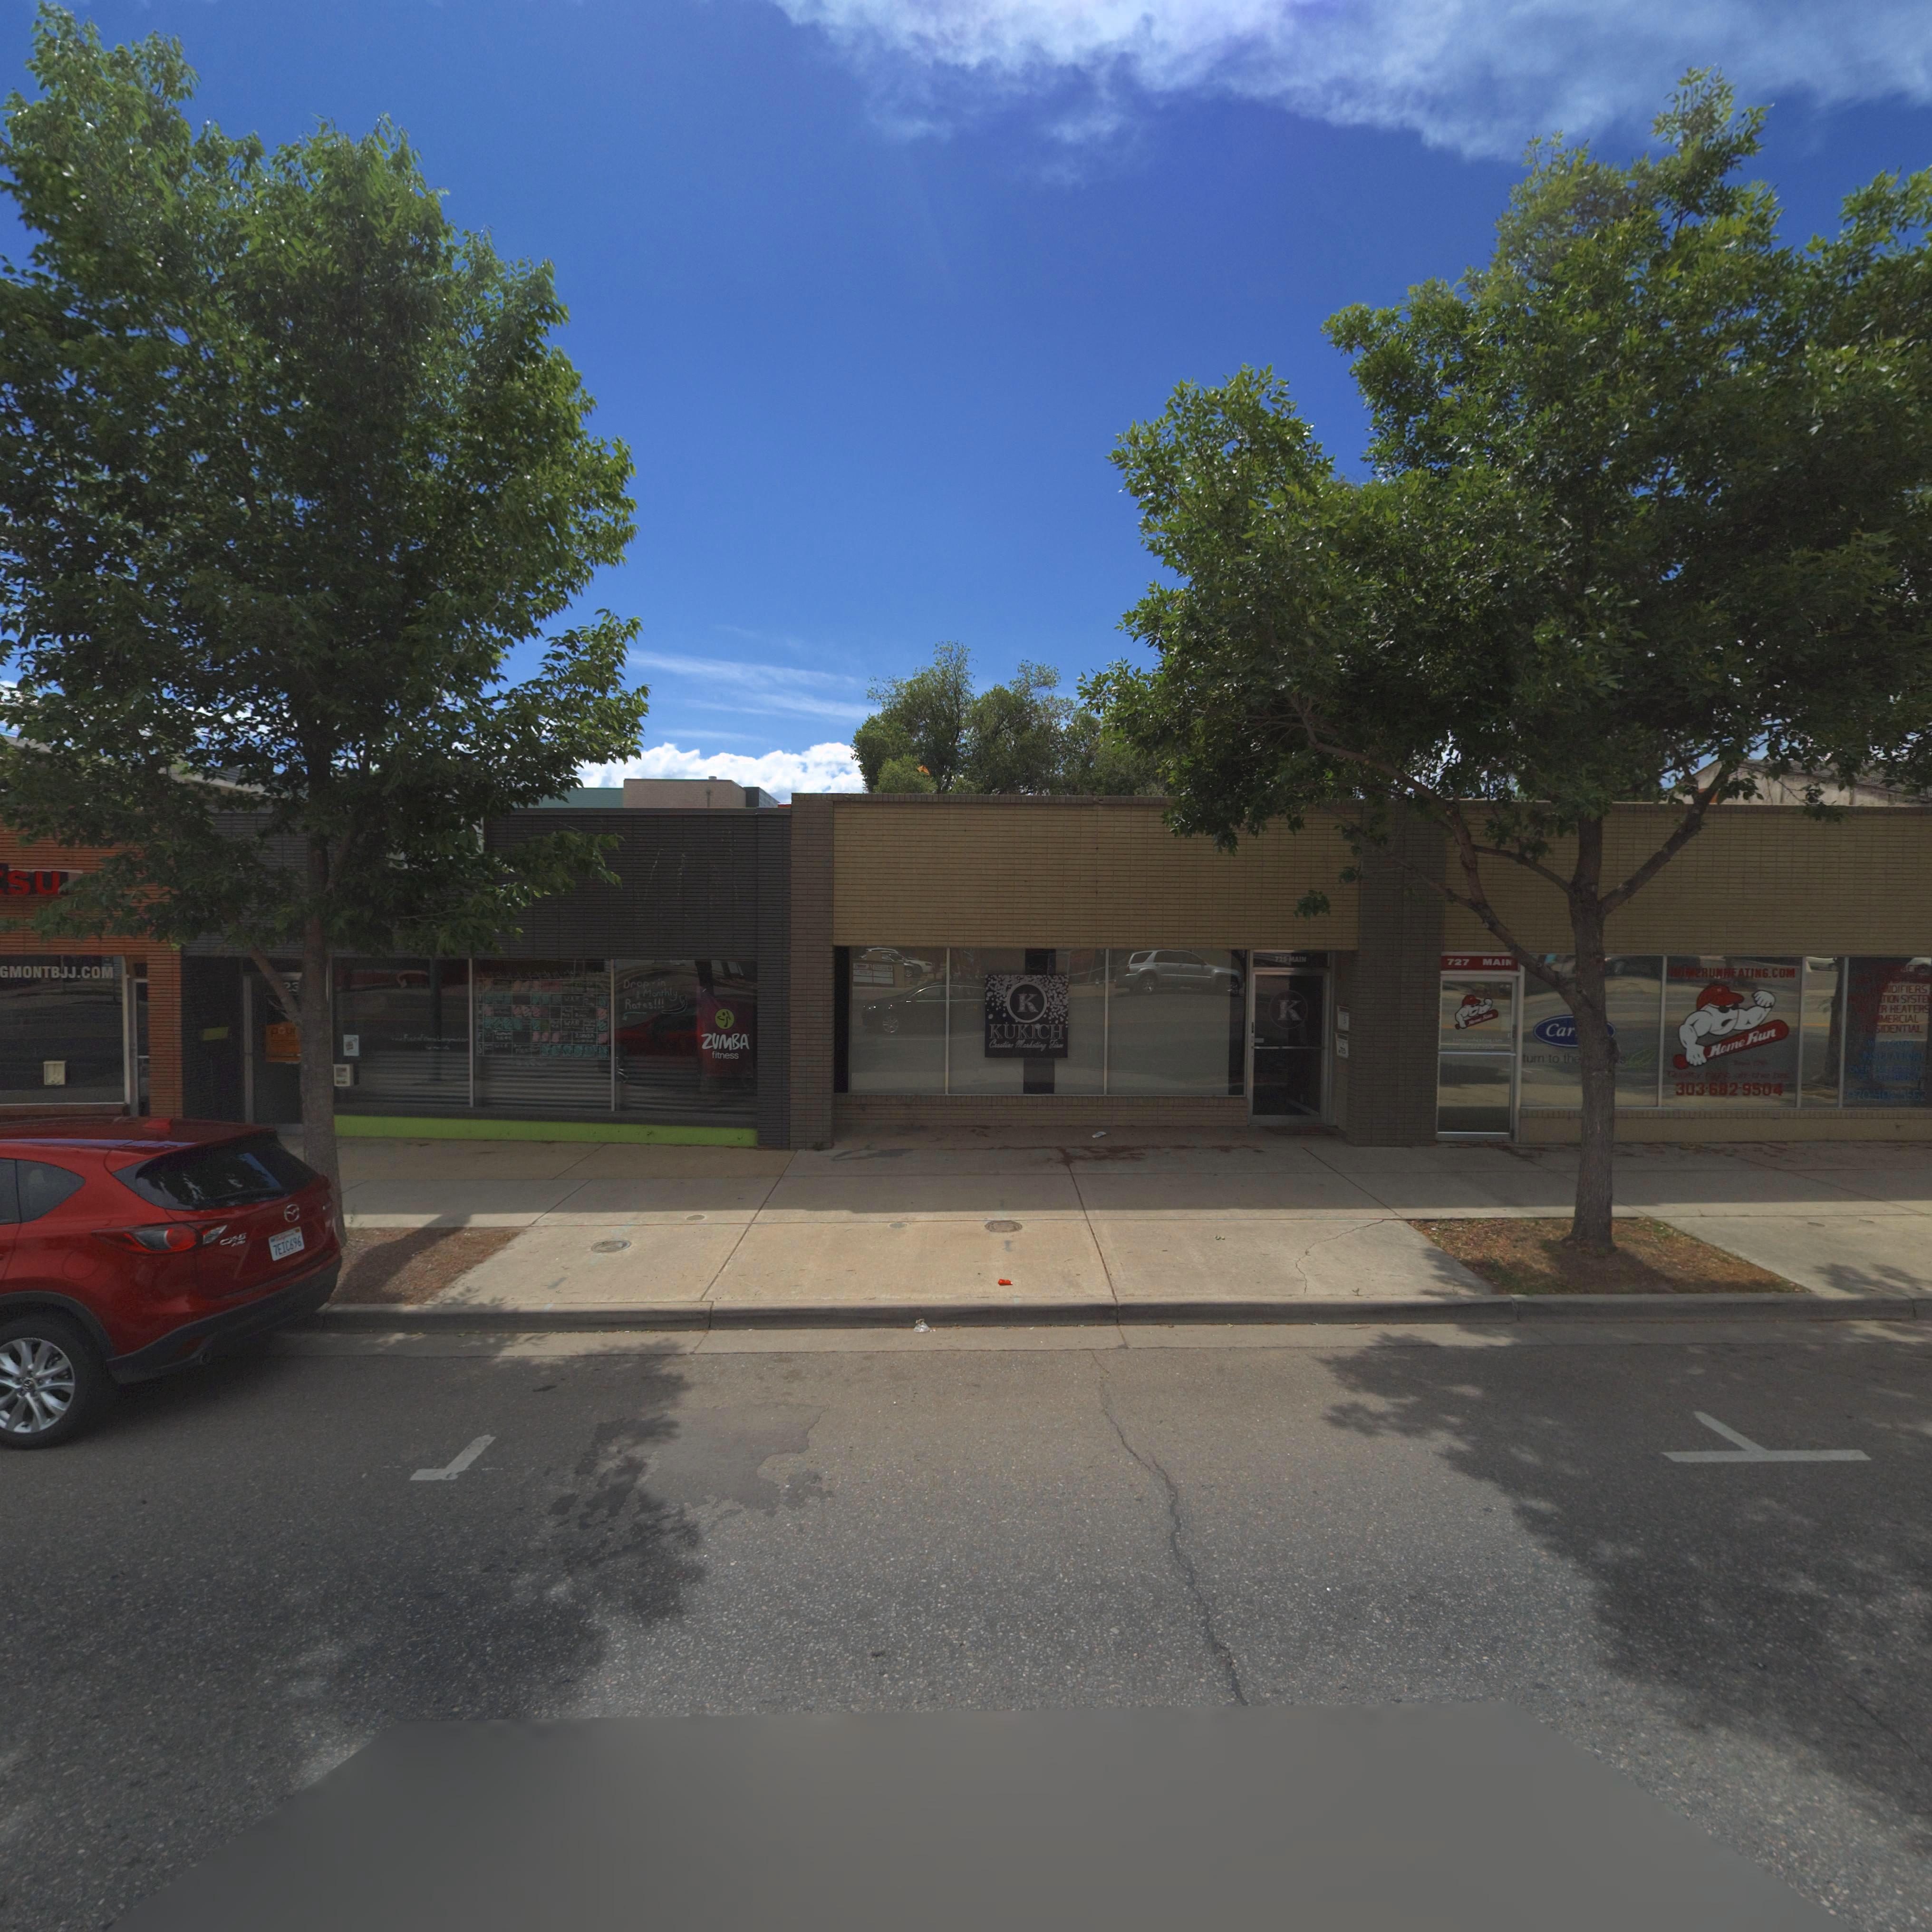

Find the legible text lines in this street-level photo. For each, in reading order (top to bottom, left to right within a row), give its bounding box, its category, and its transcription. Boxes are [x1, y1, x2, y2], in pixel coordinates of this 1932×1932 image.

[1275, 956, 1287, 963] StreetNumber: 725
[1288, 955, 1306, 962] StreetName: MAIN
[1447, 958, 1470, 966] StreetNumber: 727
[1482, 958, 1513, 966] StreetName: MAIN
[1467, 1013, 1493, 1026] BusinessName: Home Run
[988, 1023, 1064, 1040] BusinessName: KUKICH
[1706, 1027, 1777, 1059] BusinessName: Home Run